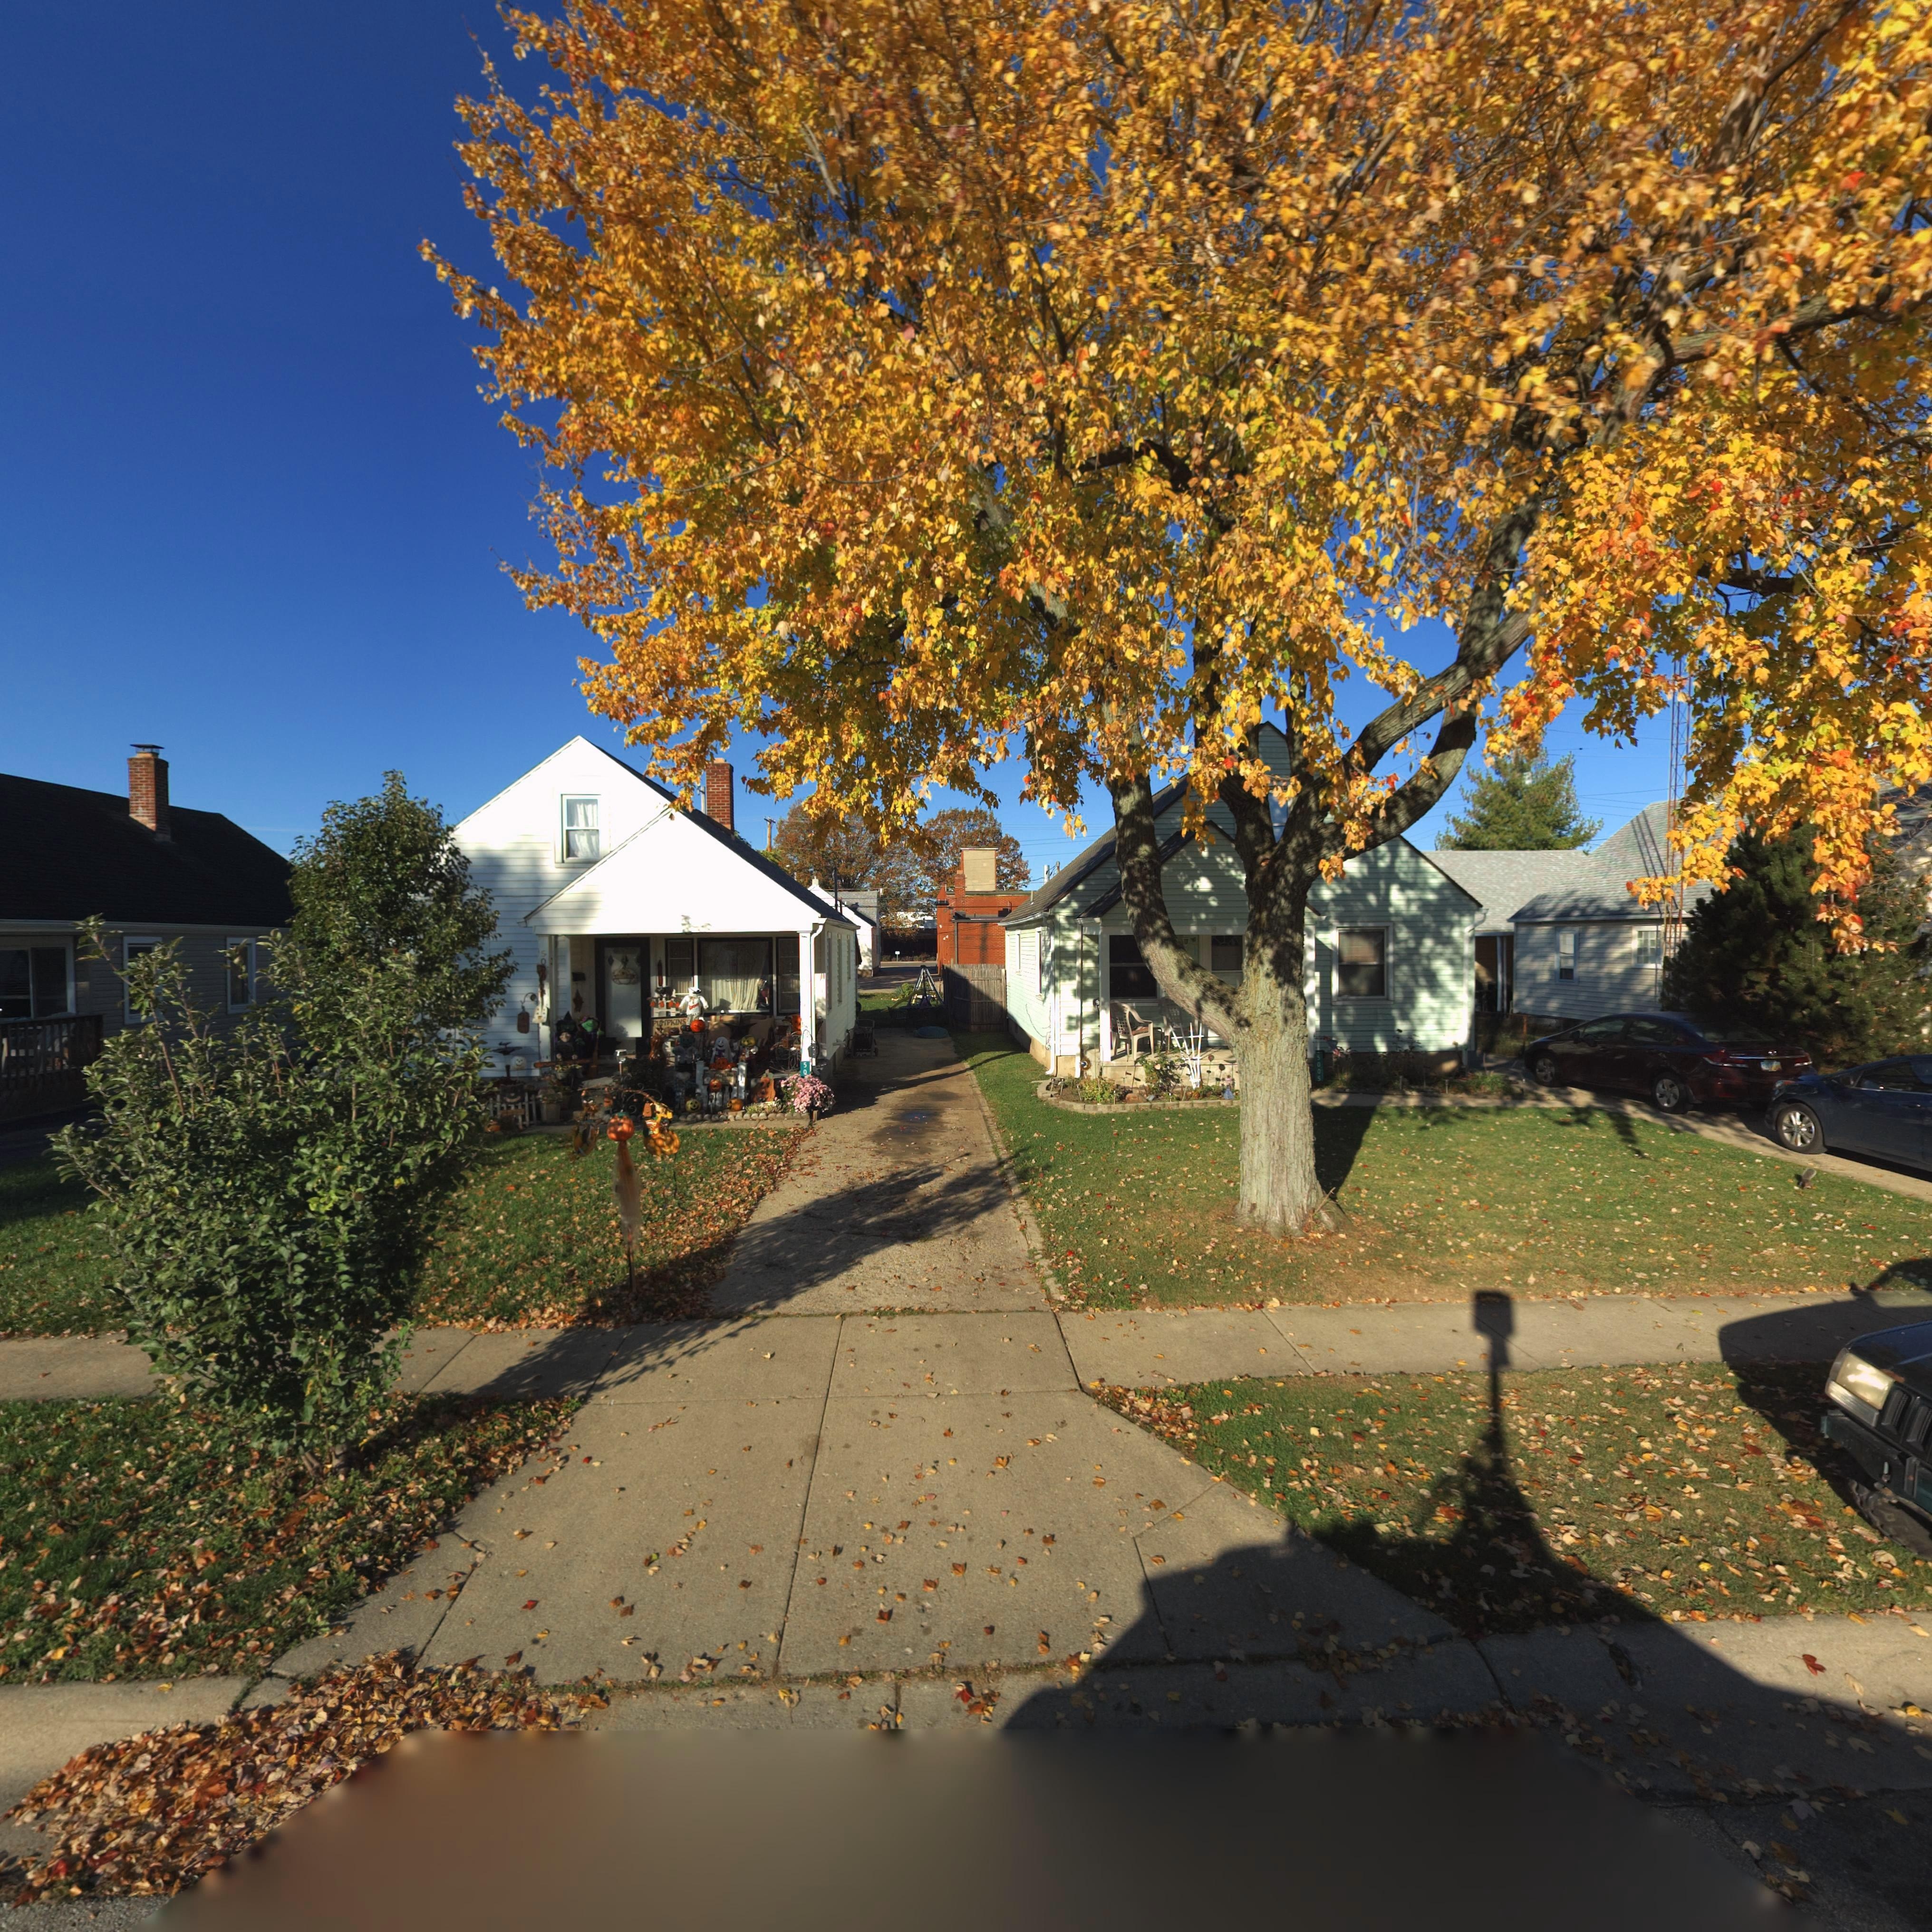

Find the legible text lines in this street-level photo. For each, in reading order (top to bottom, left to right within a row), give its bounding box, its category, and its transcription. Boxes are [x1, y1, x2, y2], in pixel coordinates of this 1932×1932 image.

[540, 950, 547, 966] StreetNumber: 50
[803, 1062, 807, 1075] StreetNumber: 50
[1317, 1054, 1322, 1082] StreetNumber: 5005